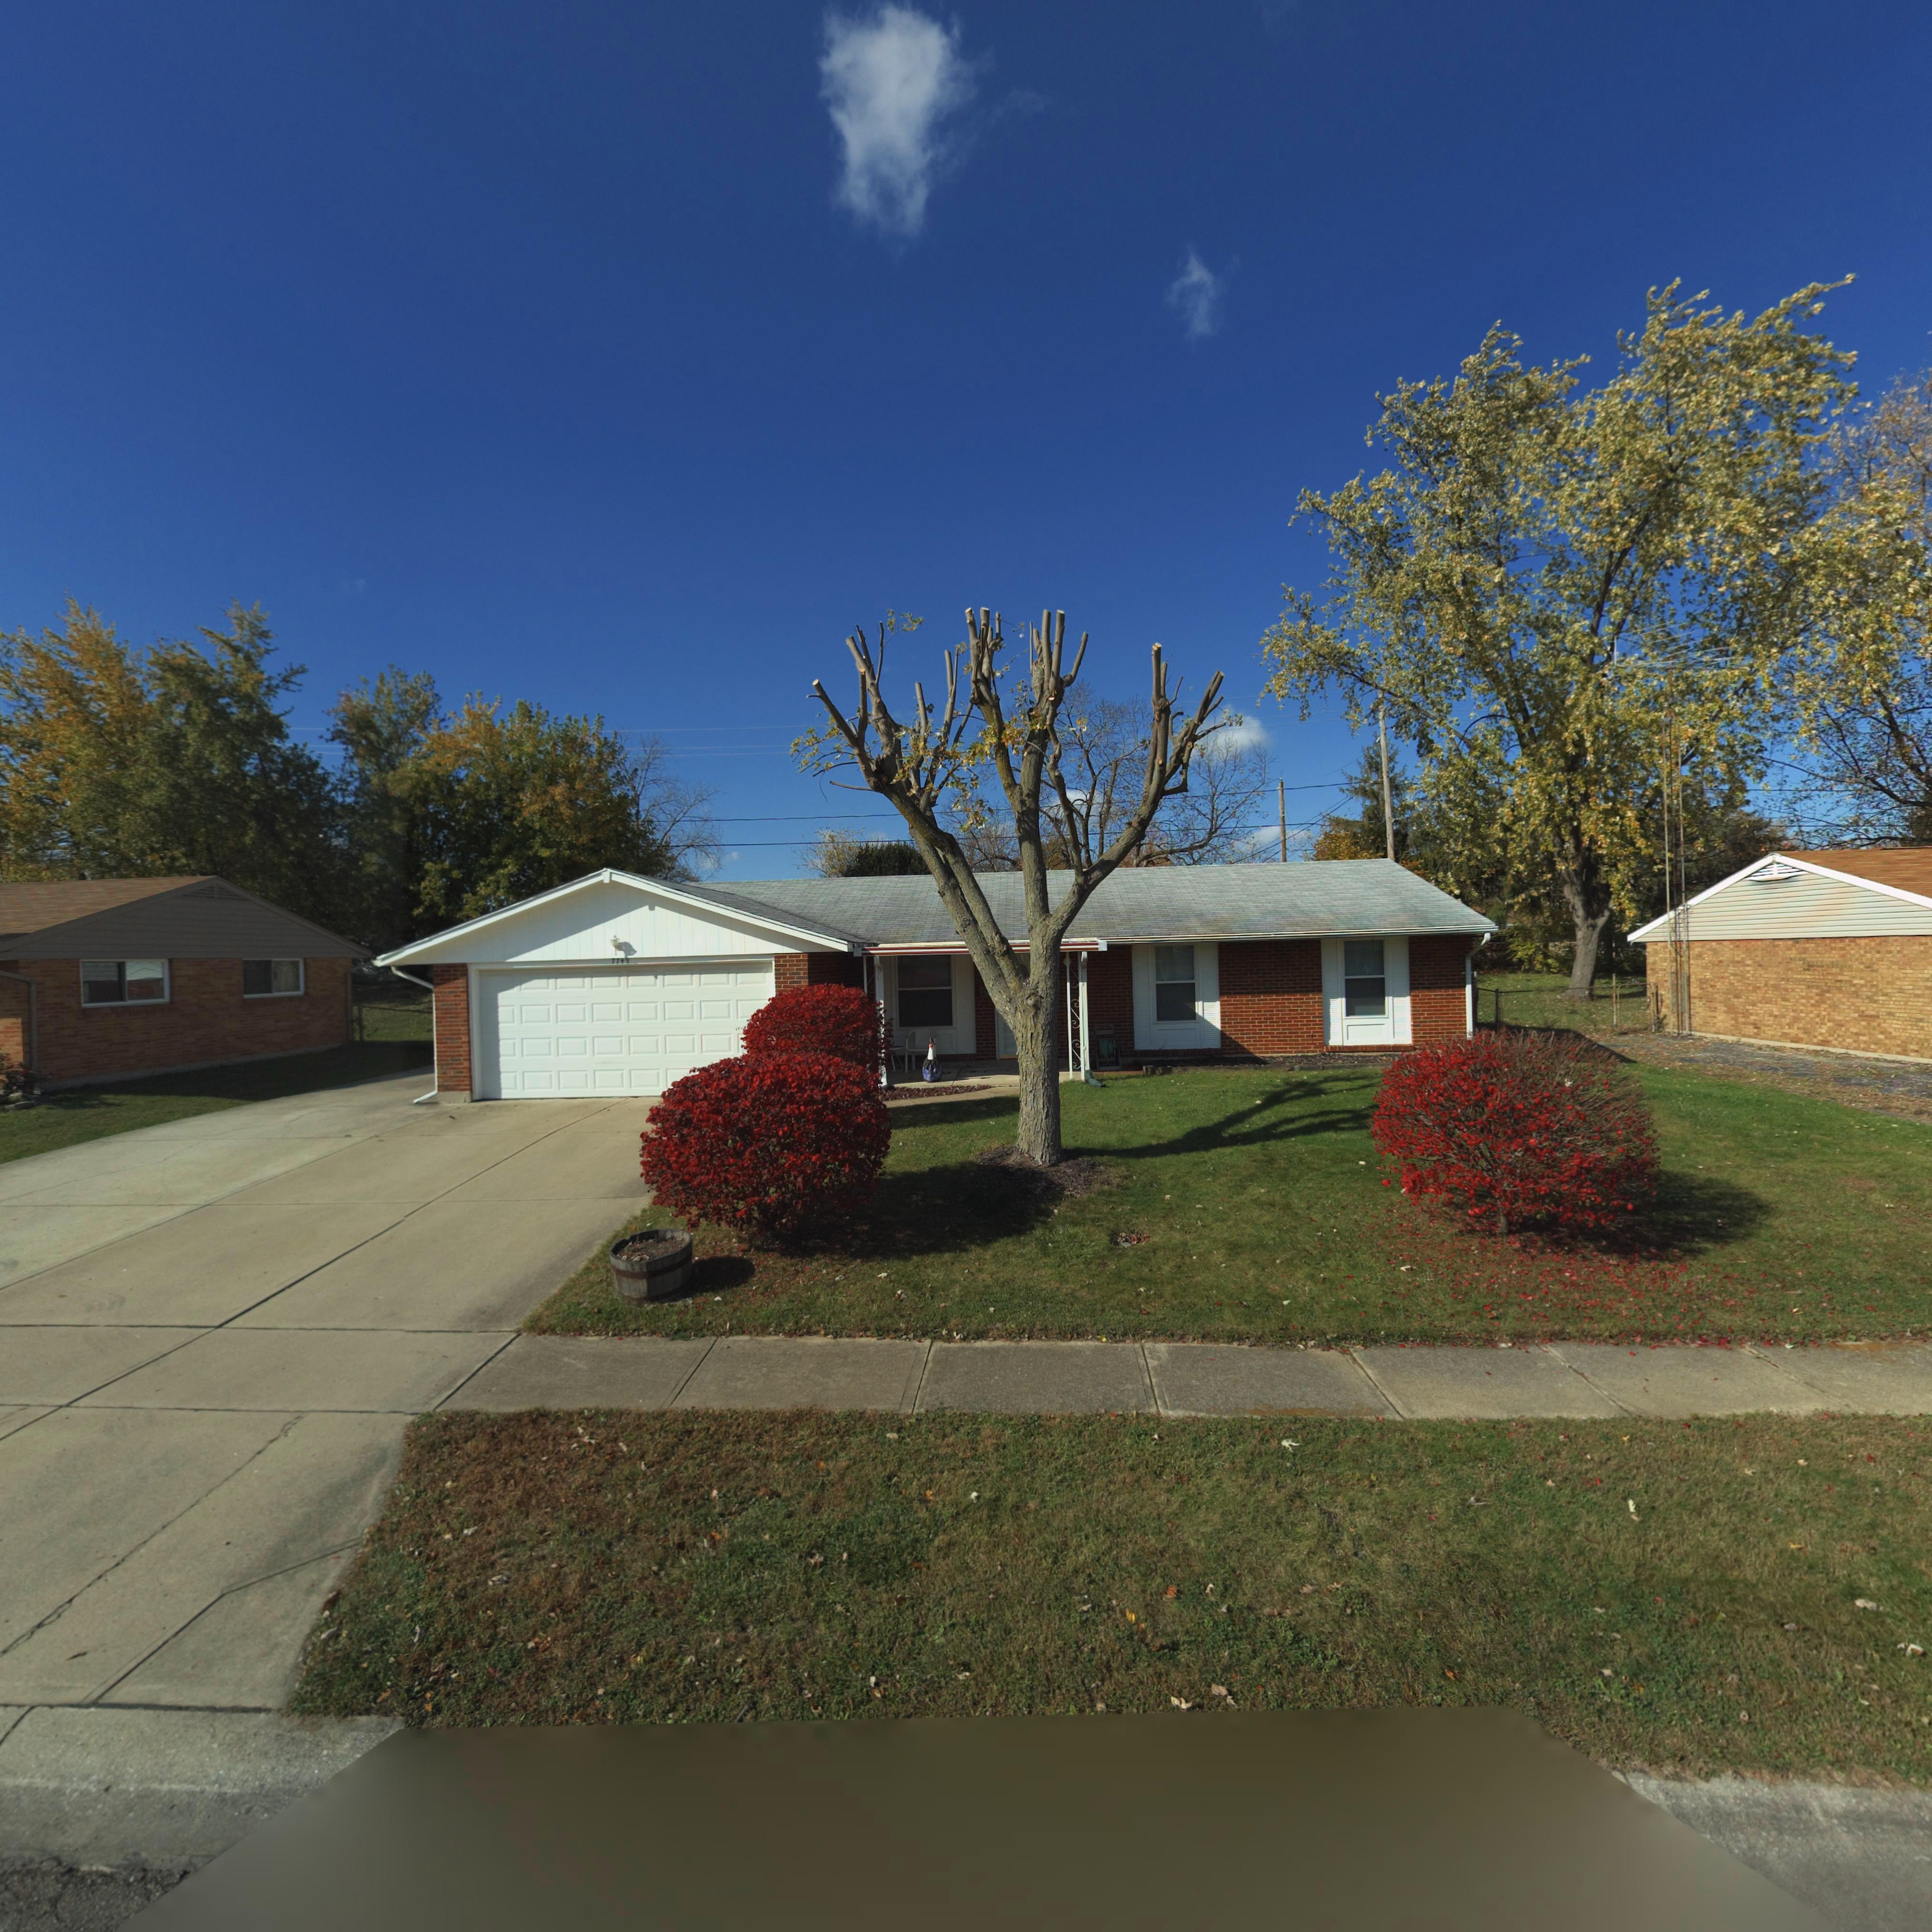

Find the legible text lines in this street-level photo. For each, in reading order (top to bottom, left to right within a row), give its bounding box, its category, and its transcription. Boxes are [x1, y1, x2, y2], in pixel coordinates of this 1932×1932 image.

[609, 957, 630, 966] StreetNumber: 7749